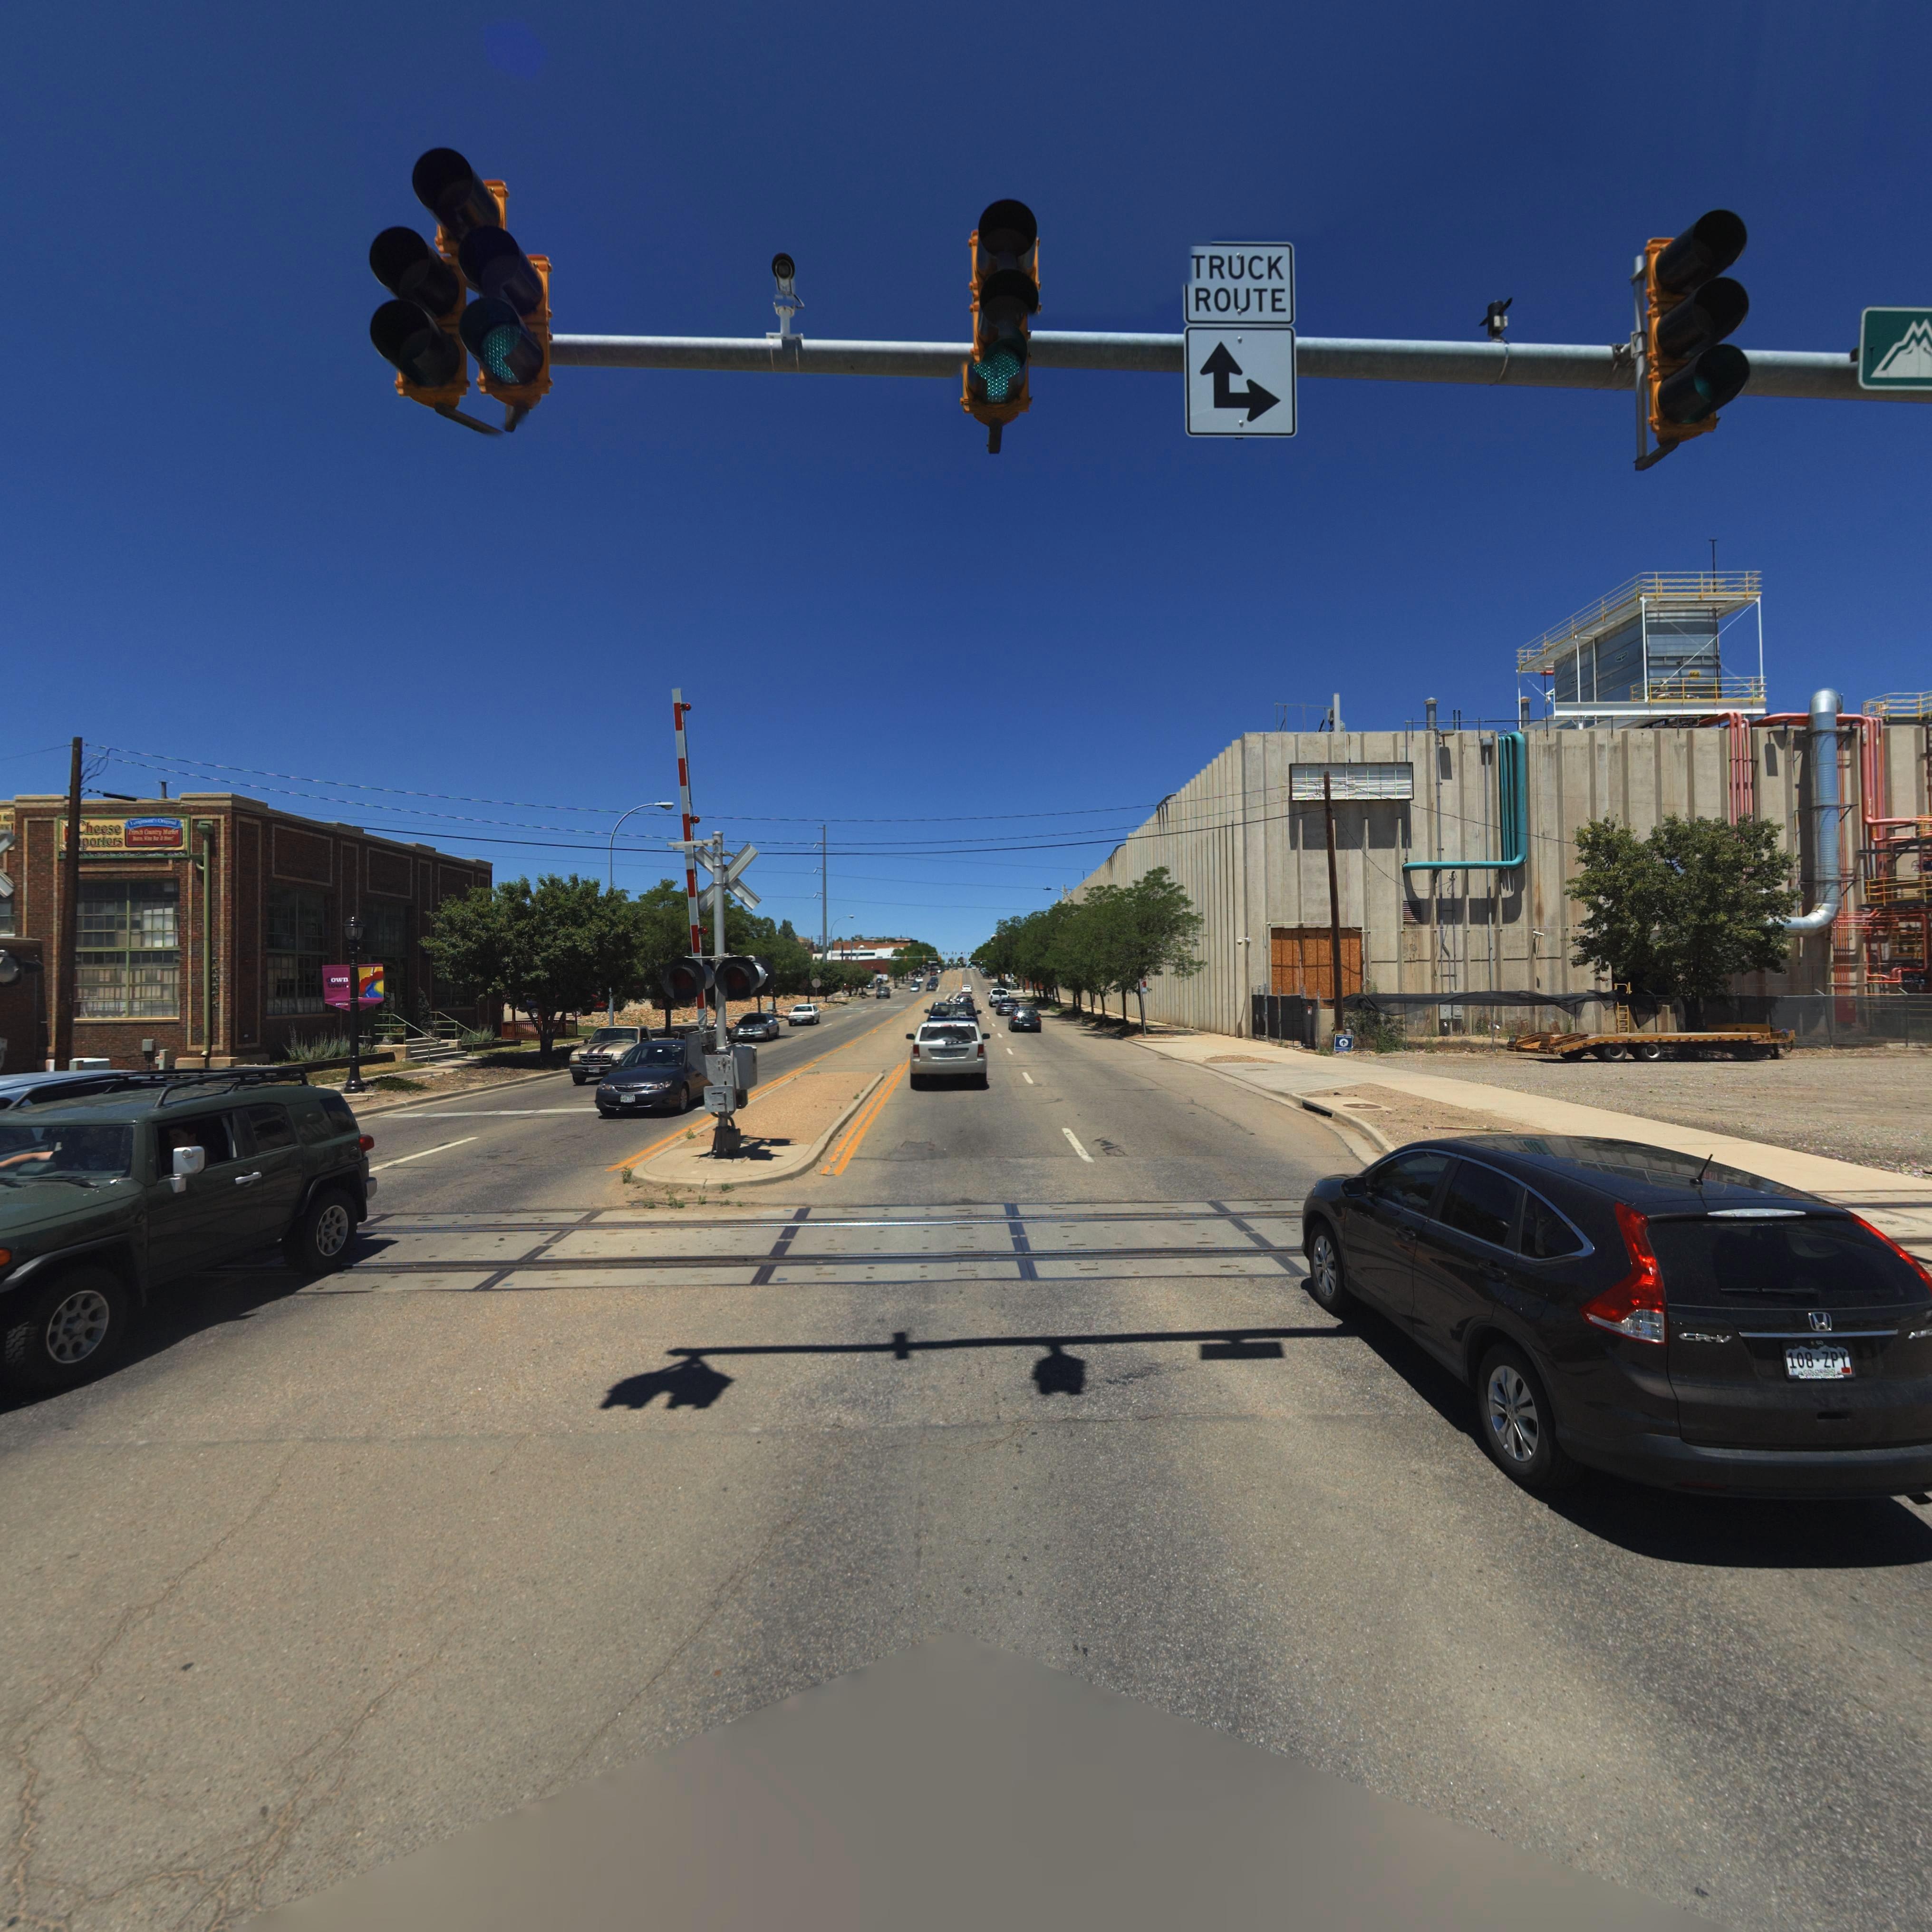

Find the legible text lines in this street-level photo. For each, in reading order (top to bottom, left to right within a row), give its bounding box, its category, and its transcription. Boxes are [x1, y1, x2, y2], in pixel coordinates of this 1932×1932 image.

[78, 819, 122, 835] BusinessName: Cheese
[79, 835, 124, 850] BusinessName: *porters